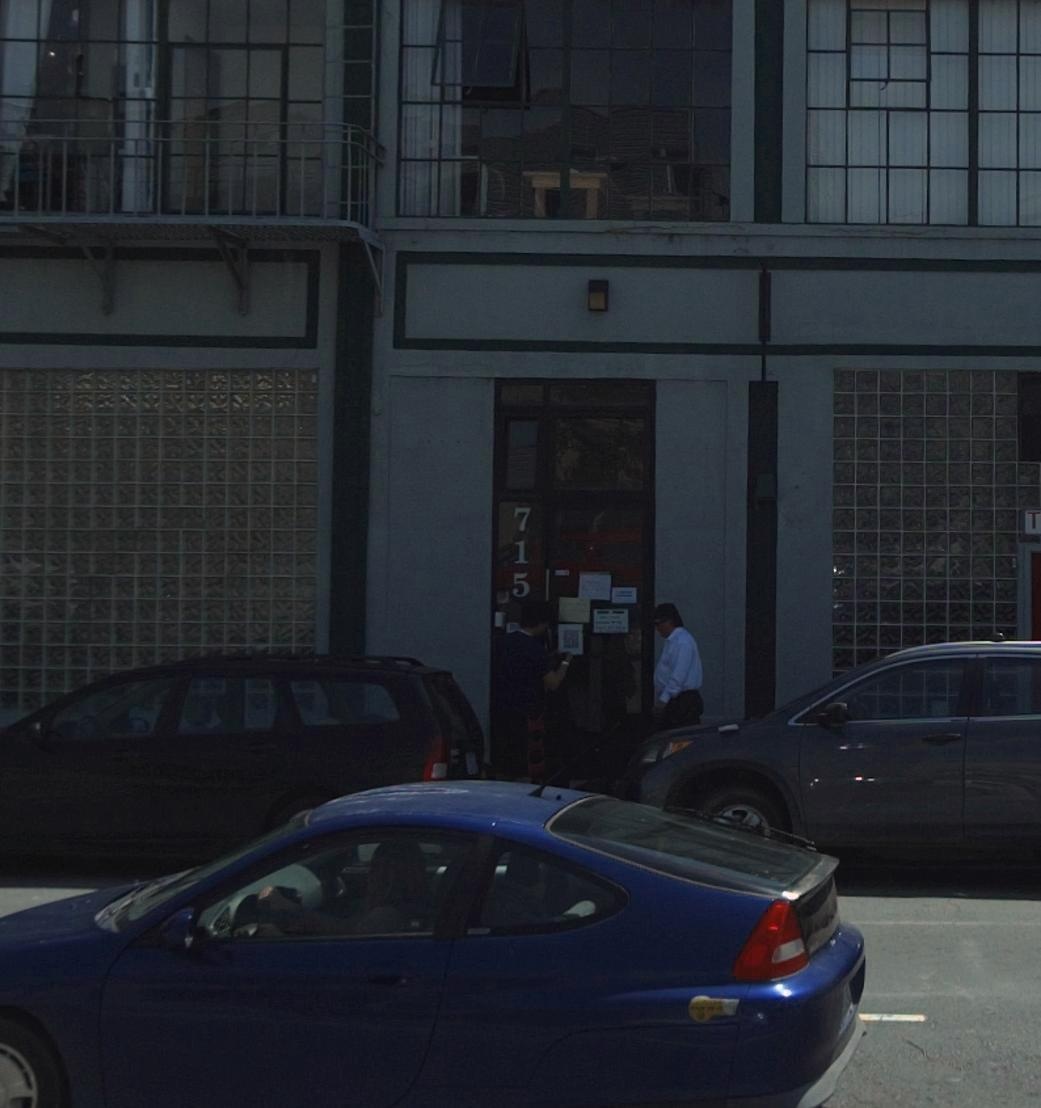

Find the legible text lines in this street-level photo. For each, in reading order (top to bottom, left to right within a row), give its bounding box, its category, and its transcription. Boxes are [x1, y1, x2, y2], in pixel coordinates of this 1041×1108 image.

[510, 504, 533, 599] StreetNumber: 715